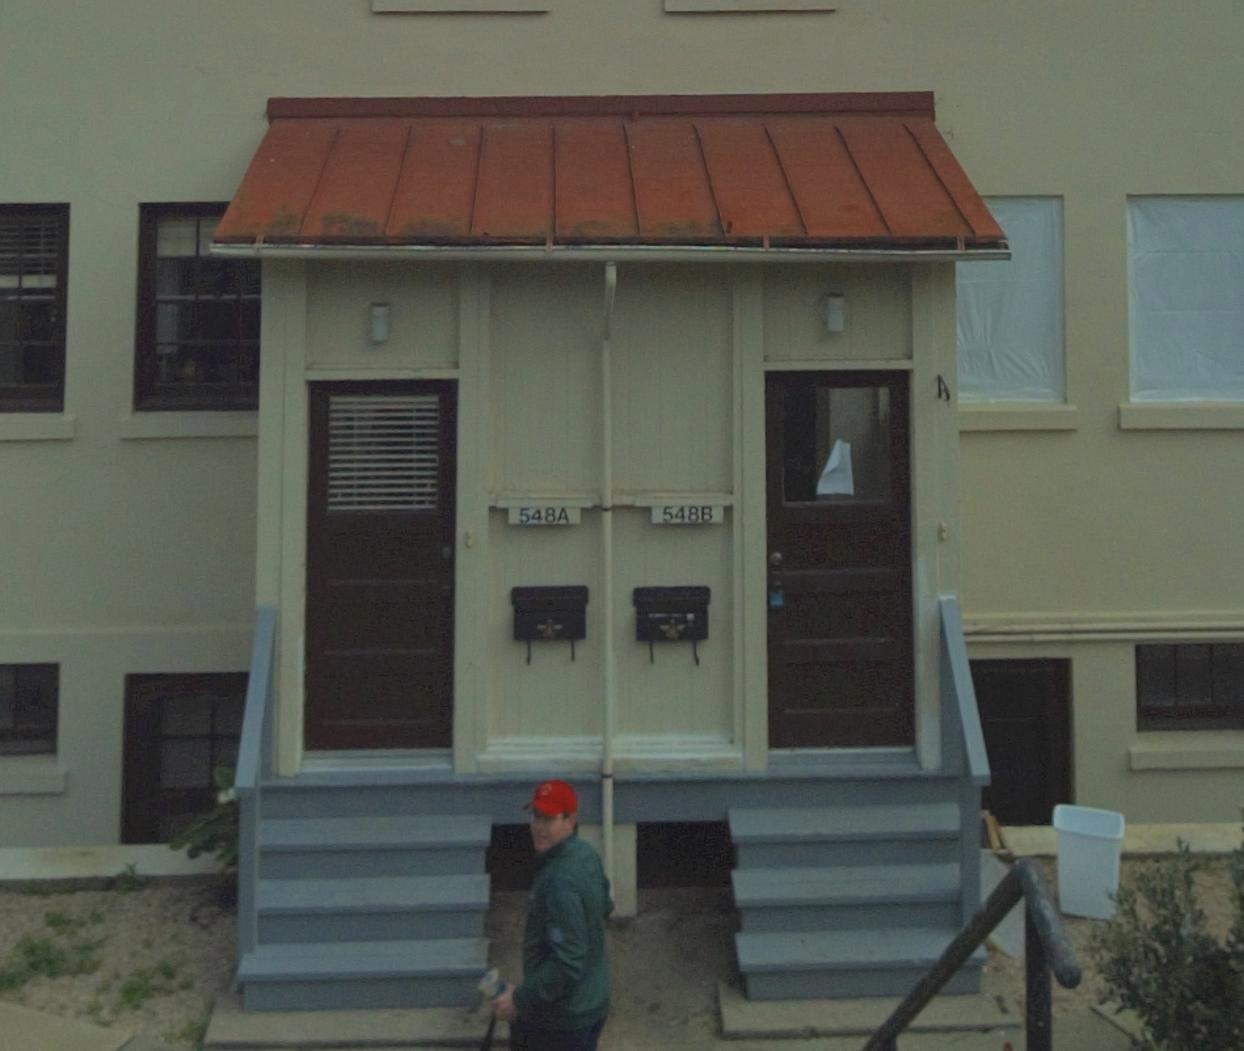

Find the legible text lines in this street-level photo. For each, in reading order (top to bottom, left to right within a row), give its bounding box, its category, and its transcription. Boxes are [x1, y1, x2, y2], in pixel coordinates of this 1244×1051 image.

[518, 507, 570, 525] StreetNumber: 548A
[662, 505, 714, 523] StreetNumber: 548B